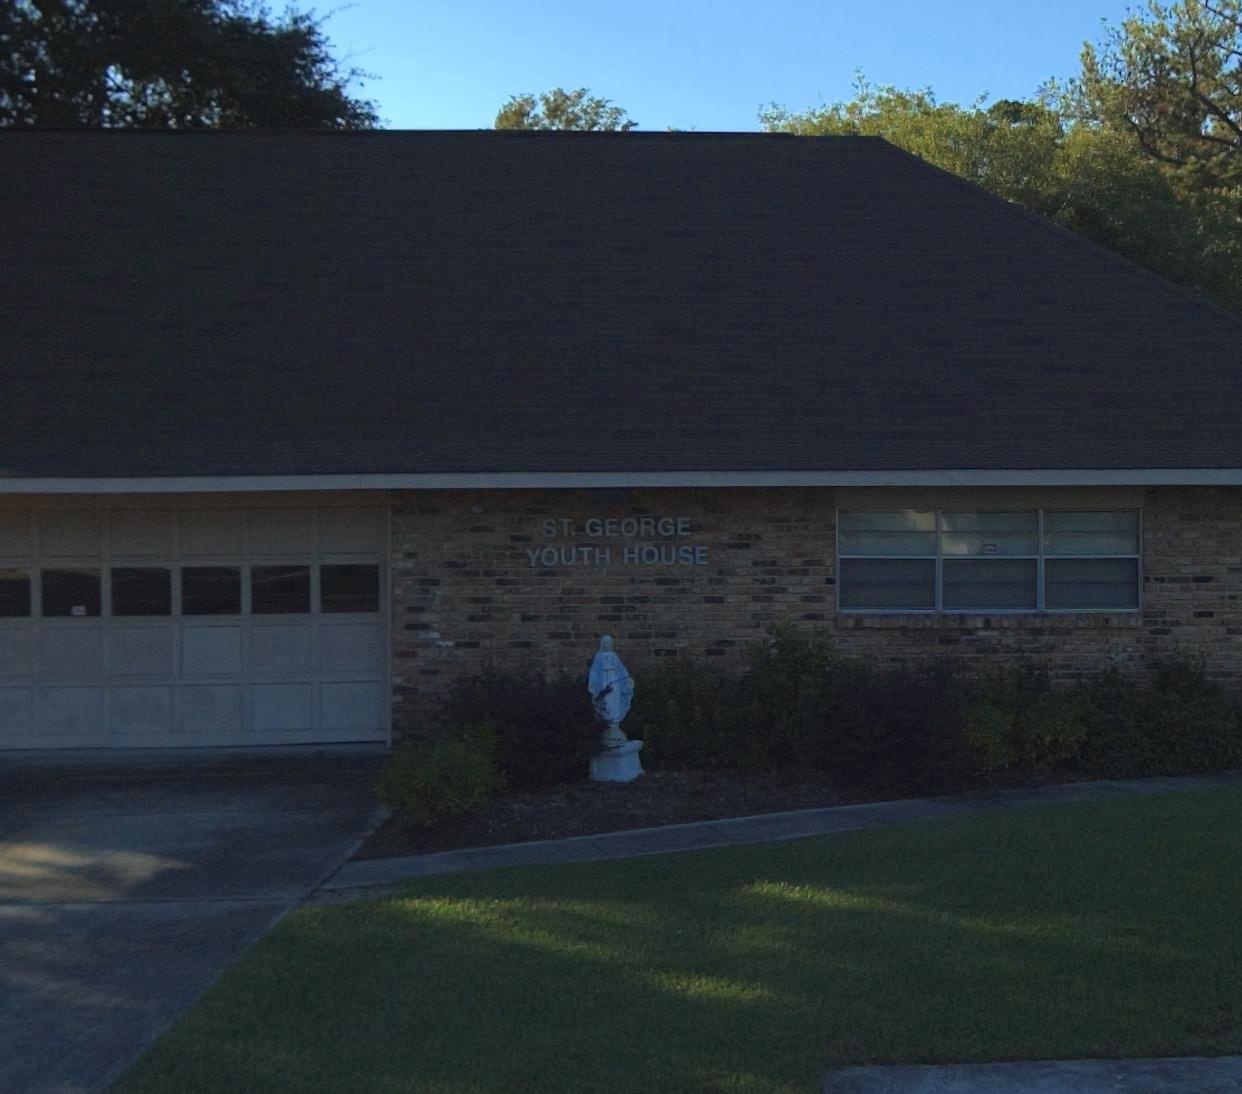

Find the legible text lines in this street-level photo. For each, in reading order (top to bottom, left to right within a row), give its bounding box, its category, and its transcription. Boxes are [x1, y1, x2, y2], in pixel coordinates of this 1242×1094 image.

[539, 516, 693, 539] BusinessName: ST. GEORGE
[524, 544, 711, 569] BusinessName: YOUTH HOUSE